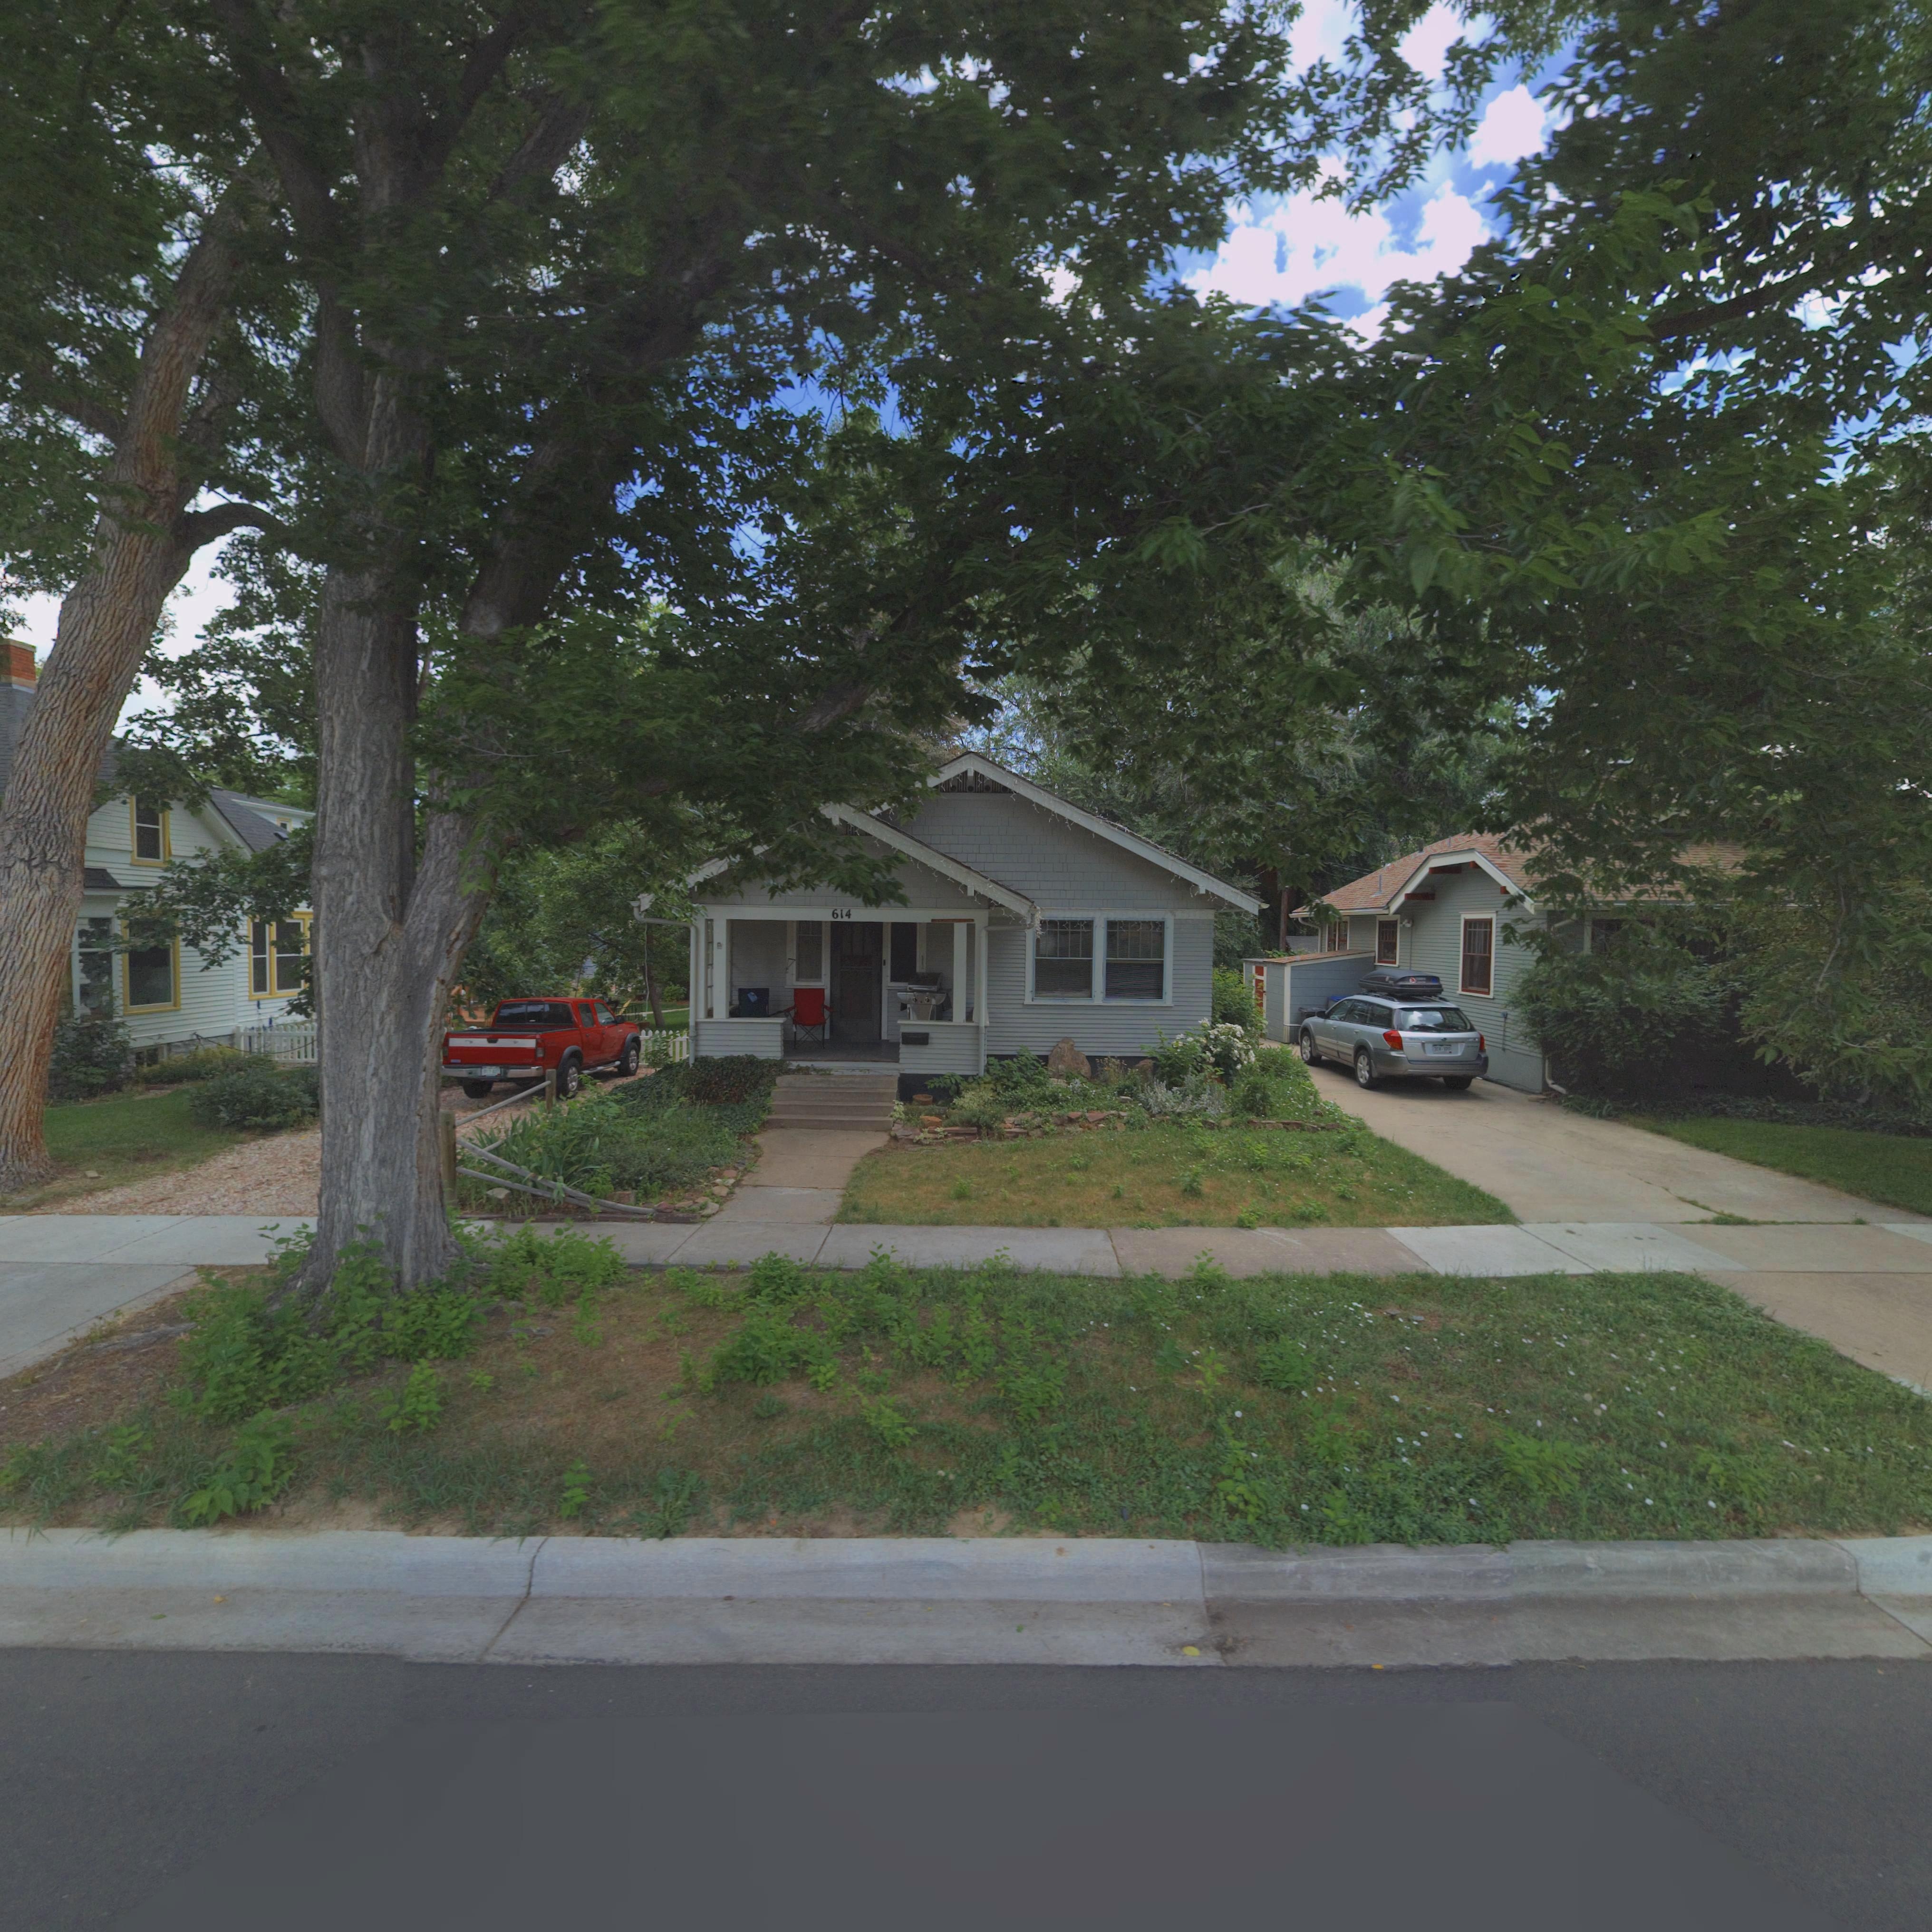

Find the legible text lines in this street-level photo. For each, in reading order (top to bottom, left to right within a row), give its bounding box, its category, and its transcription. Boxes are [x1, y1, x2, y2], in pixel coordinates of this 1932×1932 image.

[831, 908, 851, 919] StreetNumber: 614